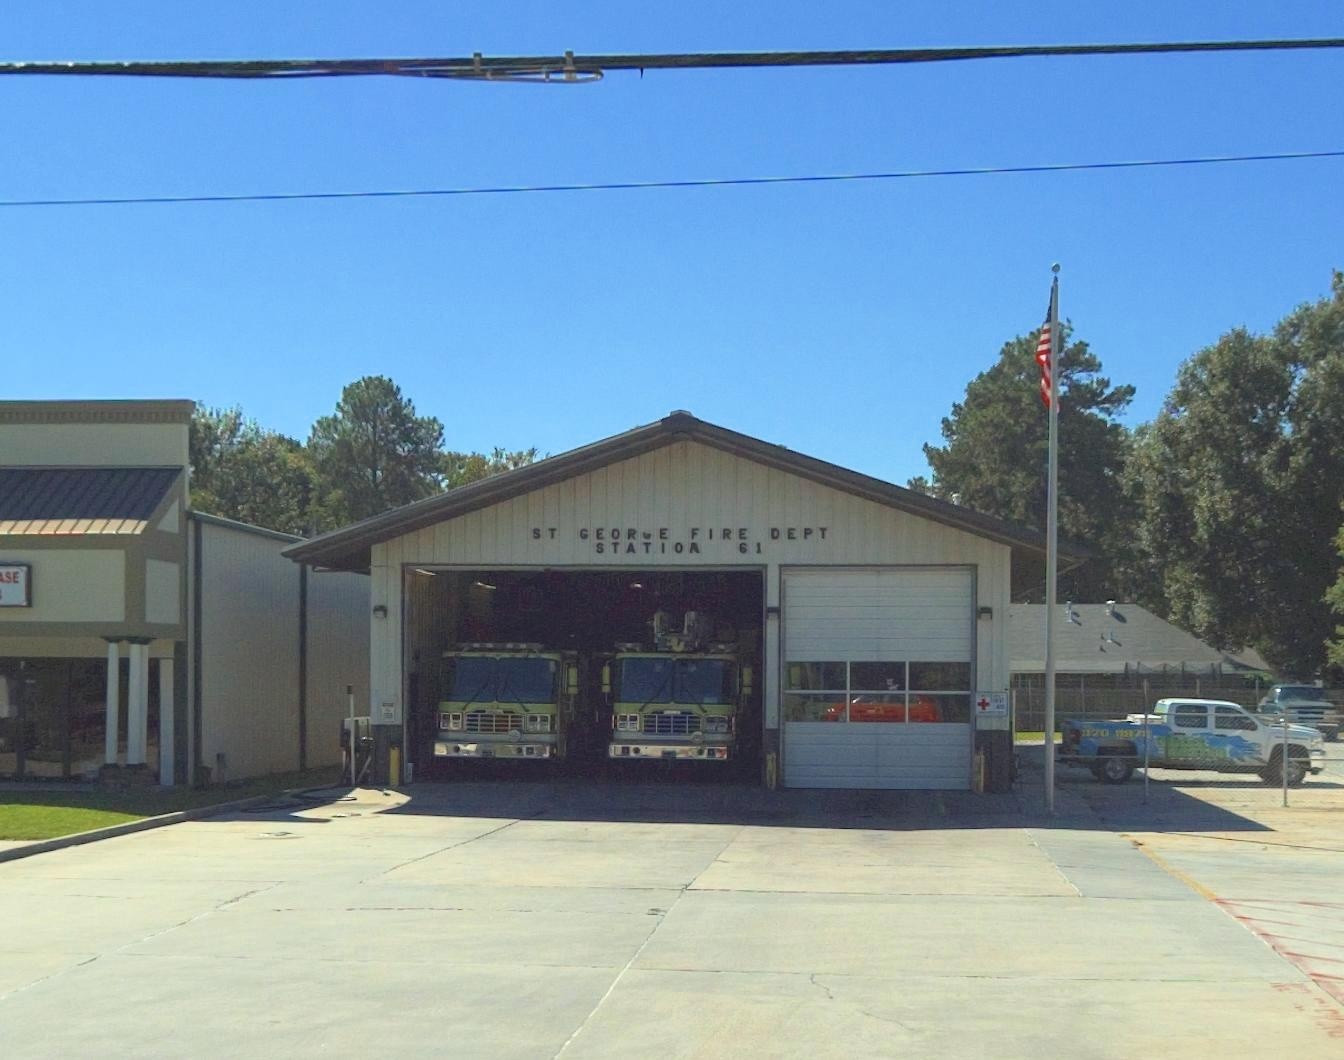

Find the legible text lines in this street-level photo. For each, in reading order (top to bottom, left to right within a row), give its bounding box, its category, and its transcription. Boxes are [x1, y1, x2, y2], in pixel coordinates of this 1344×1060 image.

[529, 527, 830, 541] BusinessName: ST GEOR*E FIRE DEPT
[594, 541, 763, 556] SecondaryUnitDesignator: STATIO* 61
[4, 570, 22, 584] None: SE
[1081, 728, 1153, 738] None: 320-**7*